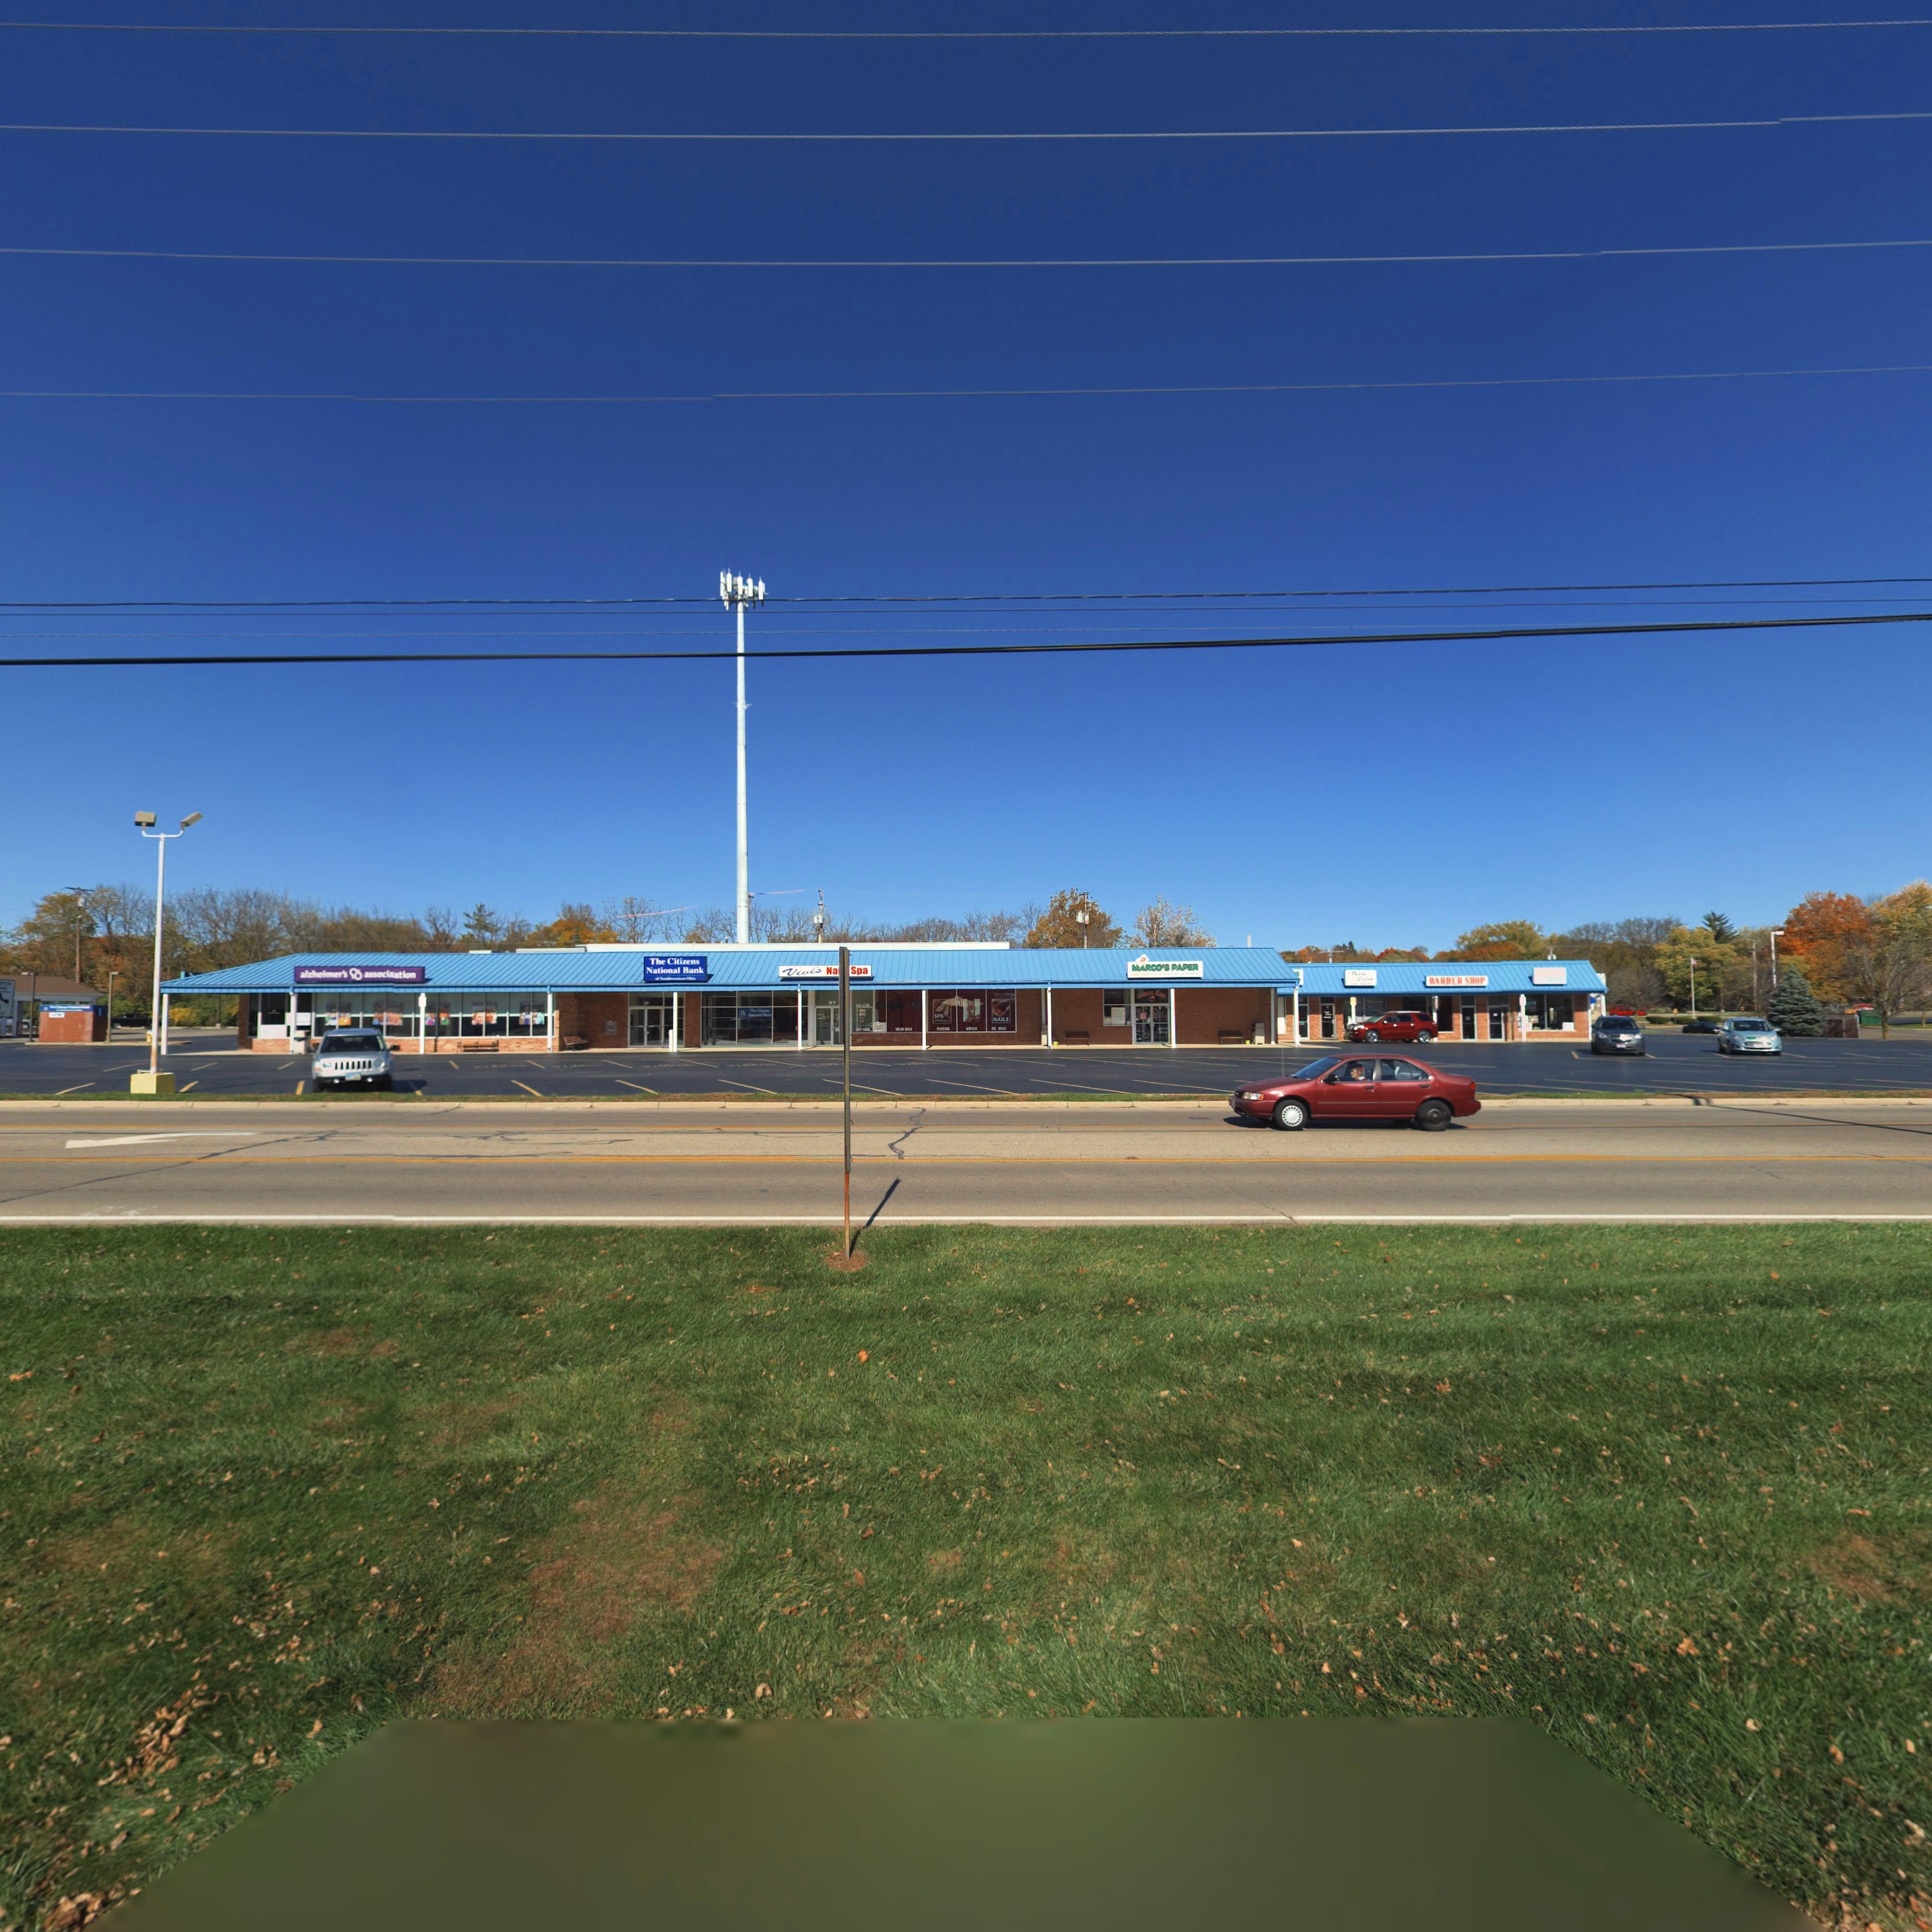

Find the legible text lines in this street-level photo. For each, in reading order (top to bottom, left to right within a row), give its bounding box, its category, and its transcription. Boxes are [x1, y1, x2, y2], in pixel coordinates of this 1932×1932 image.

[649, 957, 701, 966] BusinessName: The Citizens
[299, 969, 417, 979] BusinessName: alzheimer's * associaation
[645, 966, 705, 975] BusinessName: National Bank
[782, 966, 869, 976] BusinessName: Vivi's Na** * Spa
[1131, 963, 1199, 972] BusinessName: MARCO'S PAPER
[1347, 970, 1357, 976] BusinessName: M
[1356, 976, 1363, 982] BusinessName: E
[1429, 976, 1486, 985] BusinessName: BARBER SHOP
[828, 1000, 837, 1005] StreetNumber: 27
[933, 1013, 945, 1019] None: SPA
[993, 1016, 1009, 1022] None: NAILS